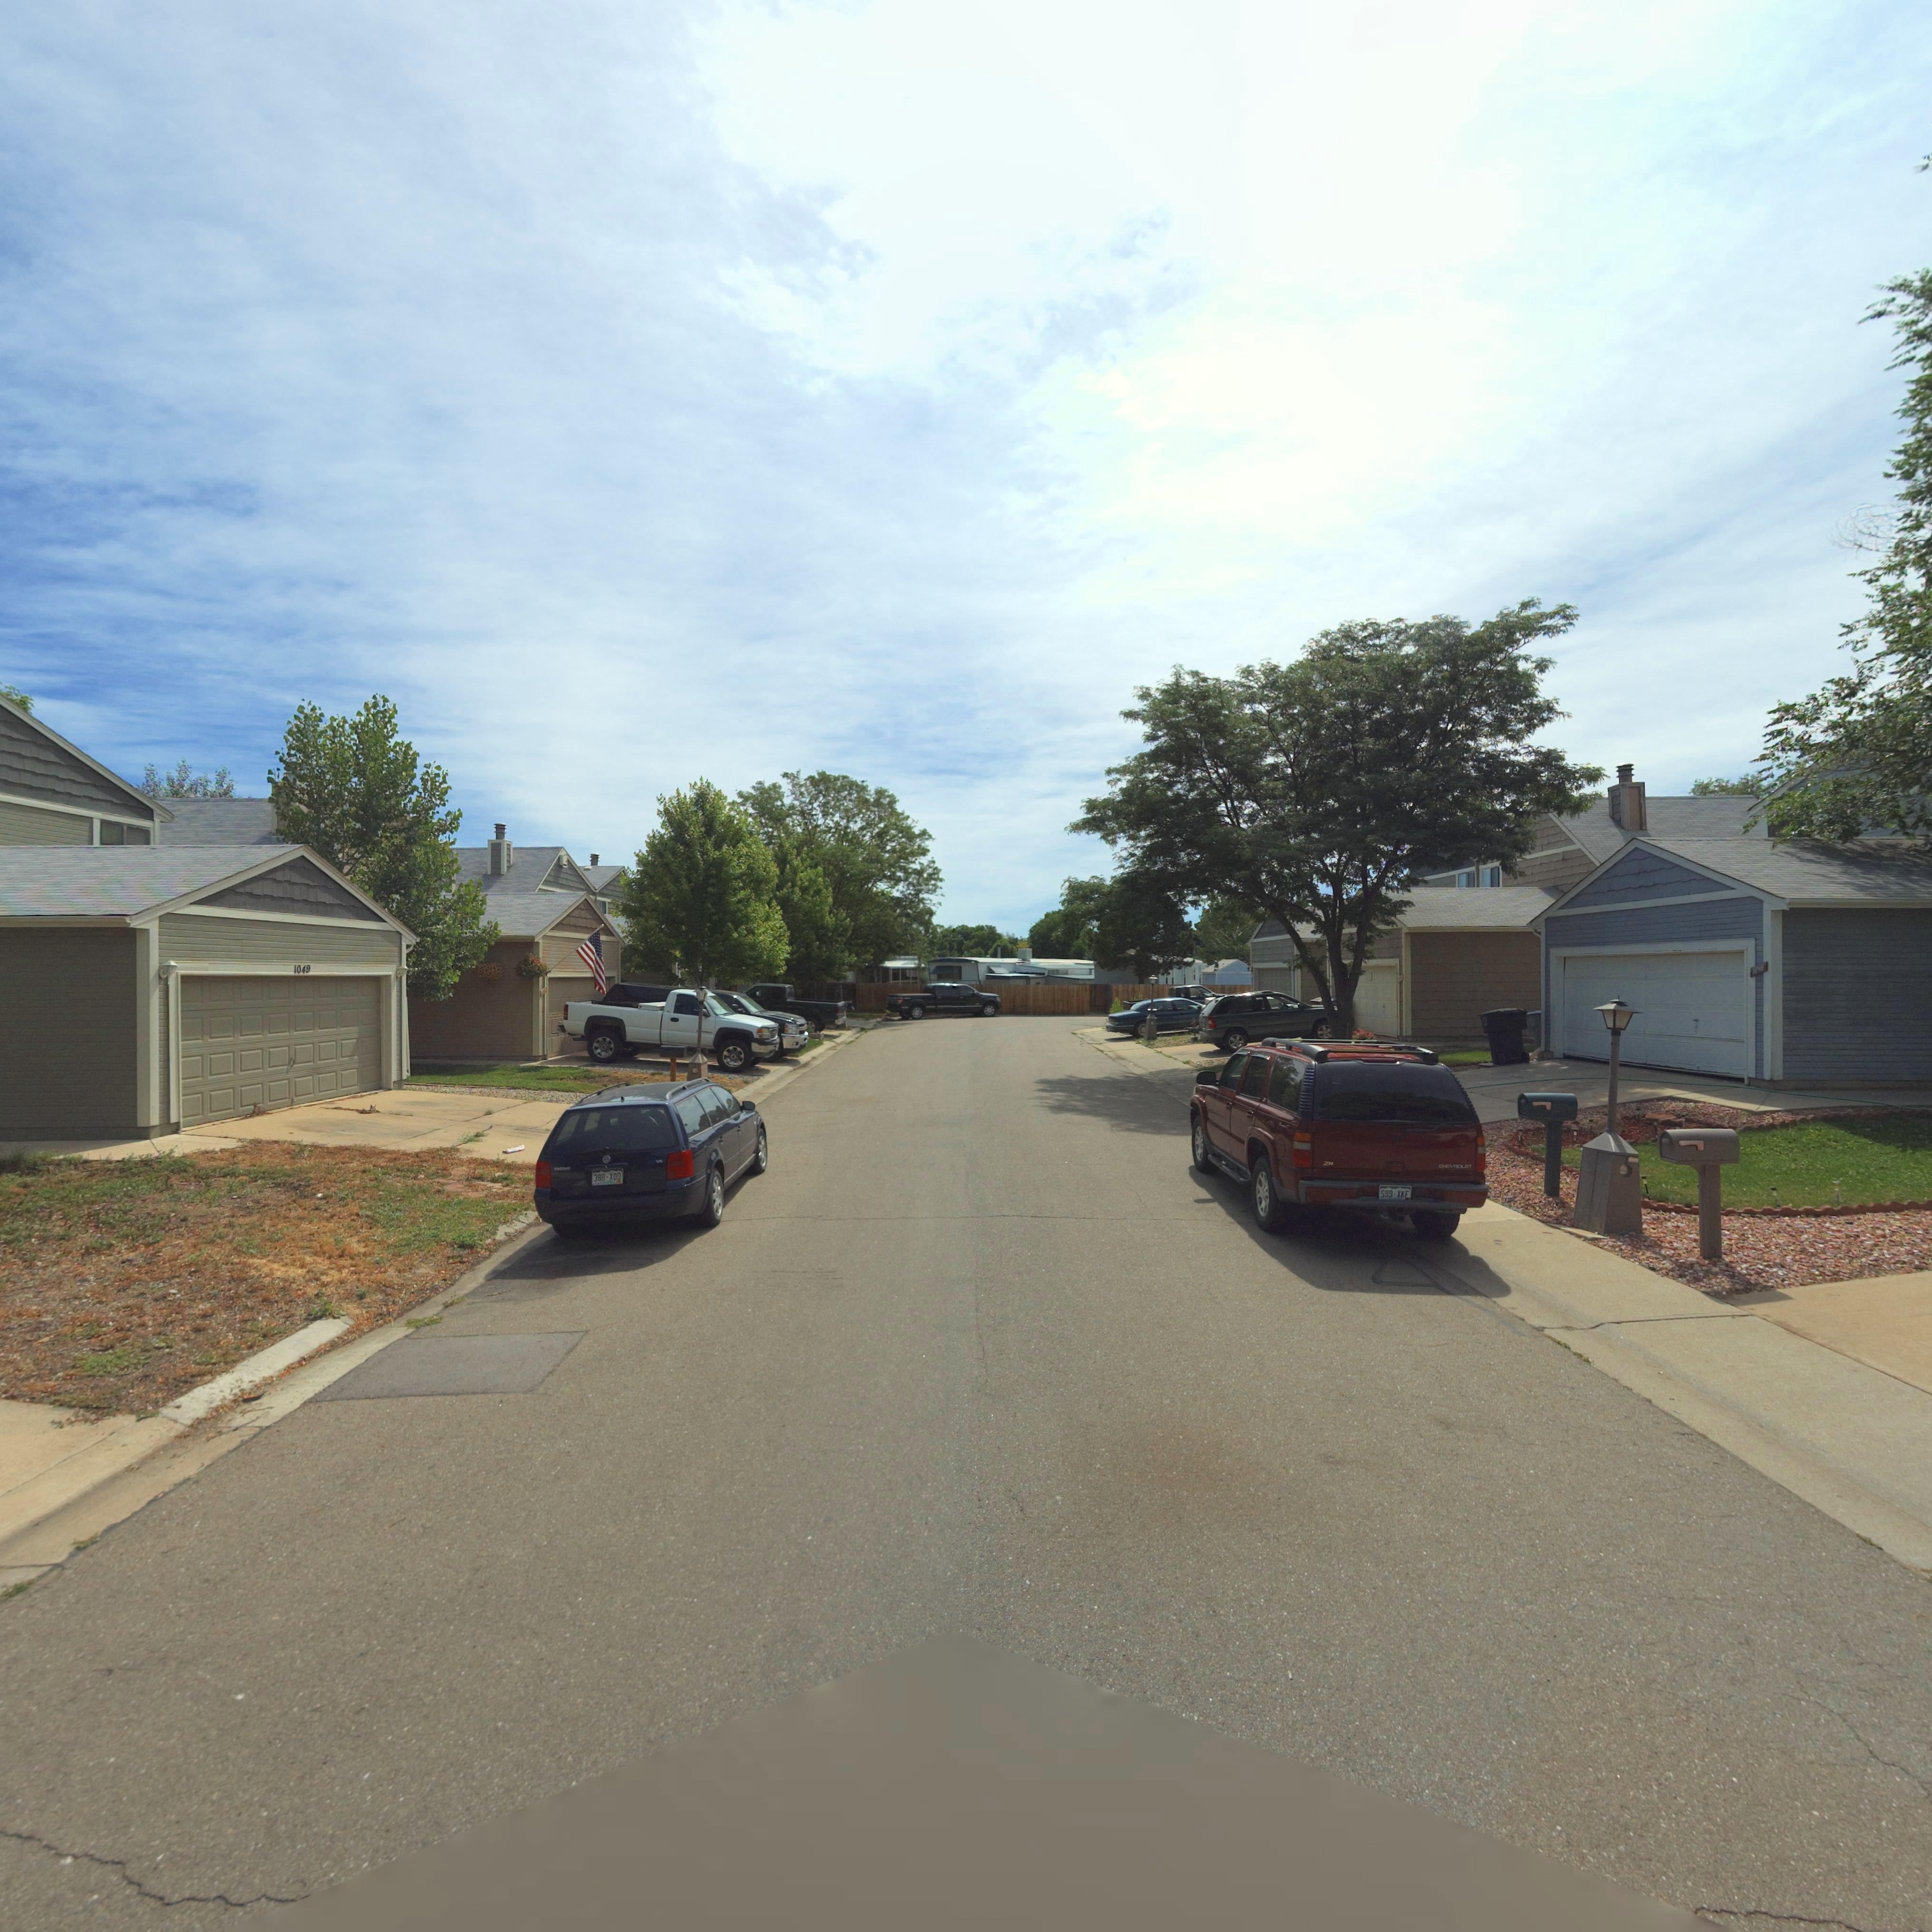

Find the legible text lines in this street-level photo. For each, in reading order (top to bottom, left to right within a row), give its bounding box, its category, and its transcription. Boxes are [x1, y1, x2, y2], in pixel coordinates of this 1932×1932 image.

[294, 964, 311, 974] StreetNumber: 1049
[1752, 963, 1764, 975] StreetNumber: 1***